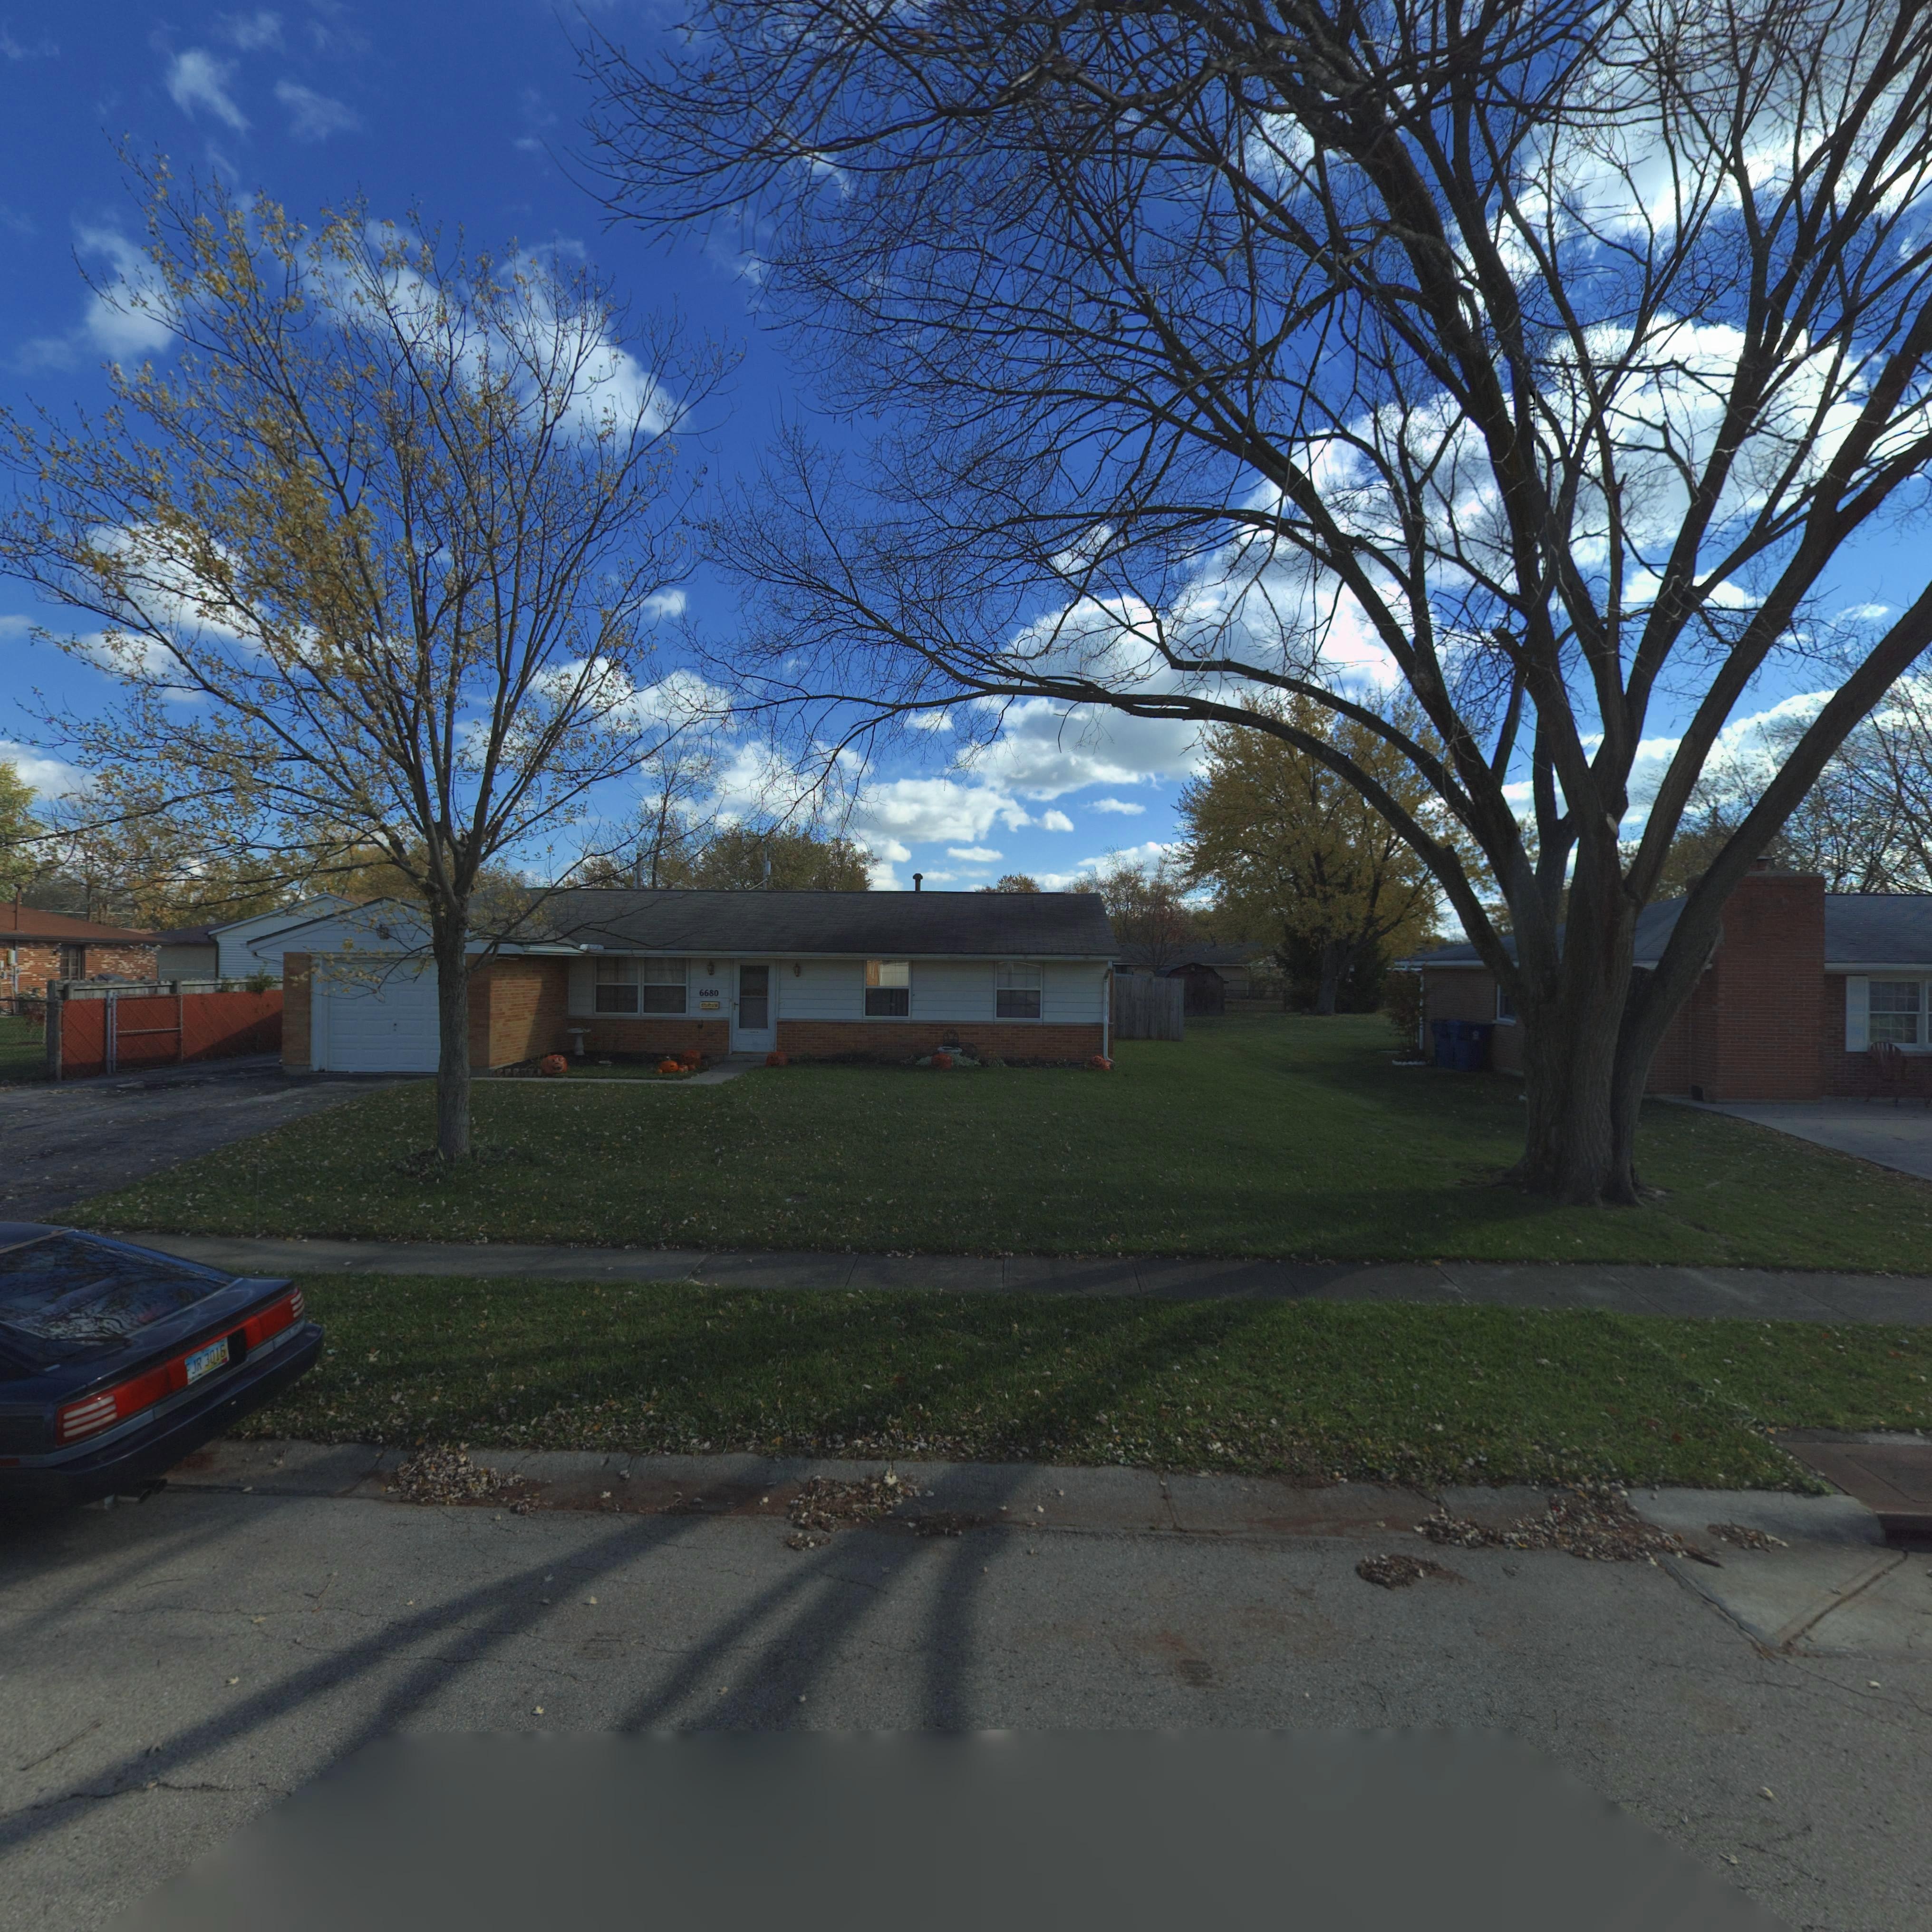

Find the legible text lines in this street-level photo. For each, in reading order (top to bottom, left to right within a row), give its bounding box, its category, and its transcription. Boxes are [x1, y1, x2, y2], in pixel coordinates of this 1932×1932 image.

[698, 989, 719, 996] StreetNumber: 6680